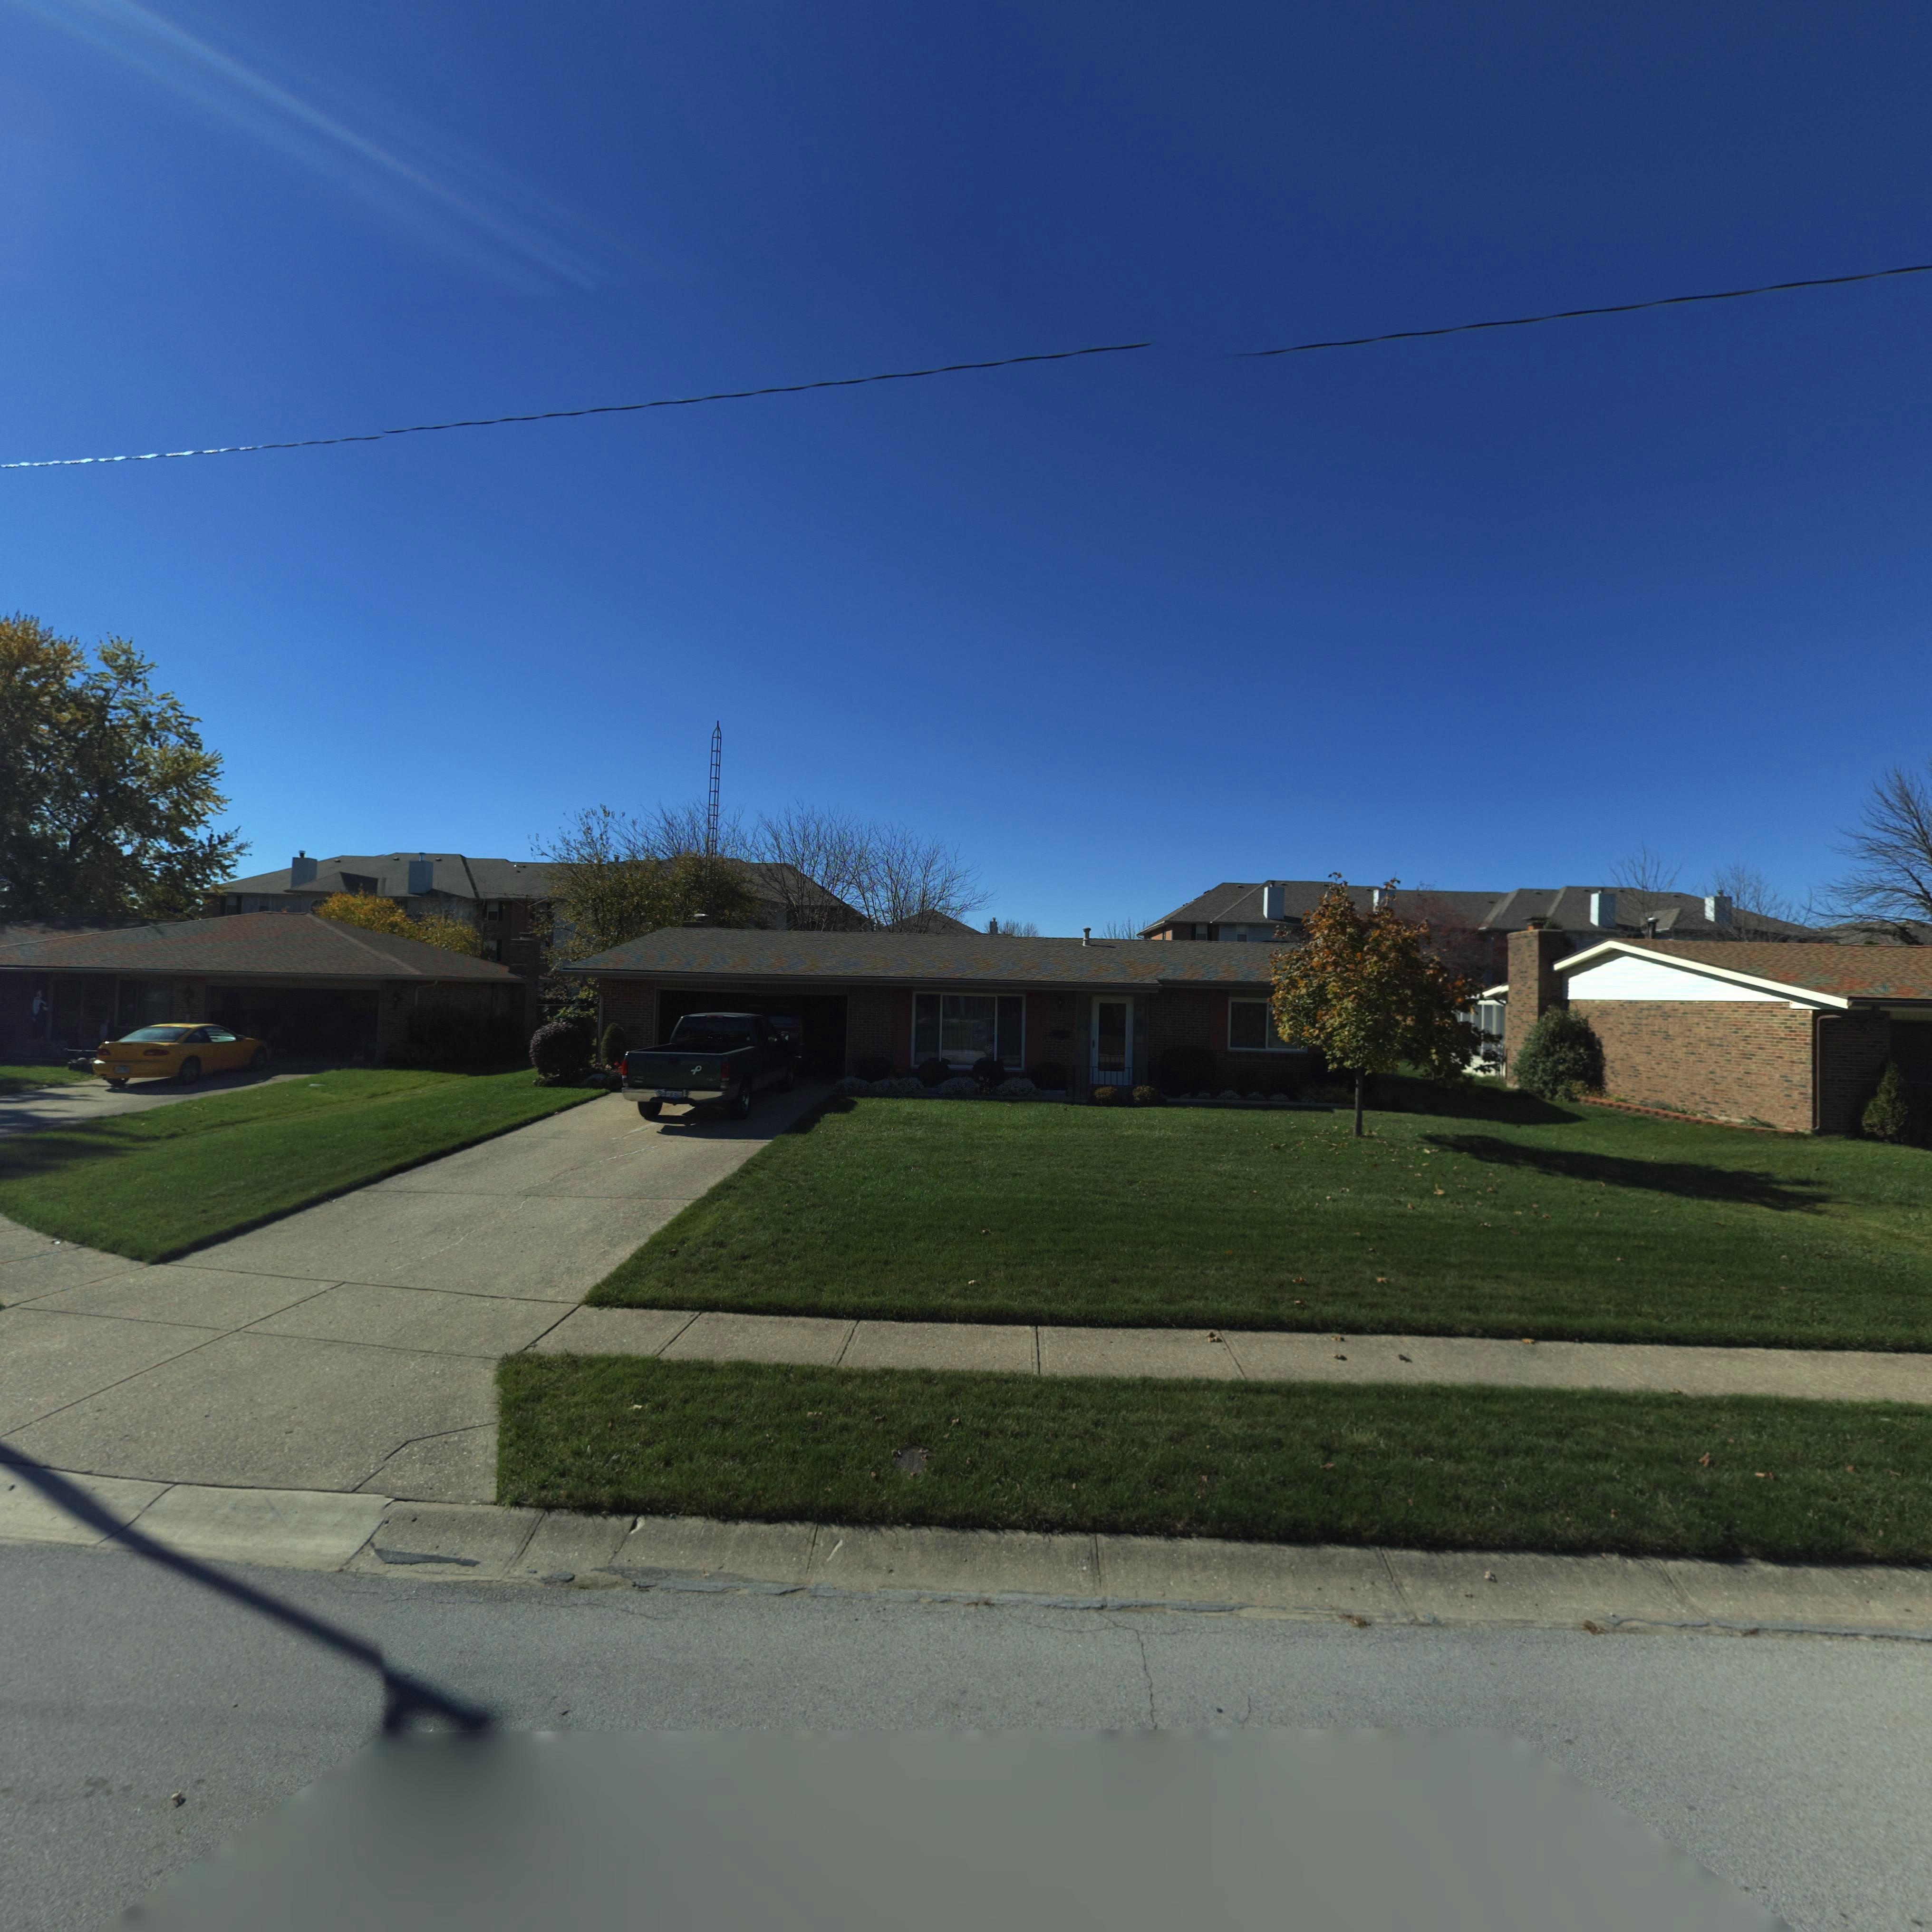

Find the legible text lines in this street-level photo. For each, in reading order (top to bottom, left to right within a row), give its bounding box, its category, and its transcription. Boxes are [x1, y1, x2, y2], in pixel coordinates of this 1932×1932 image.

[752, 983, 759, 990] StreetNumber: 9